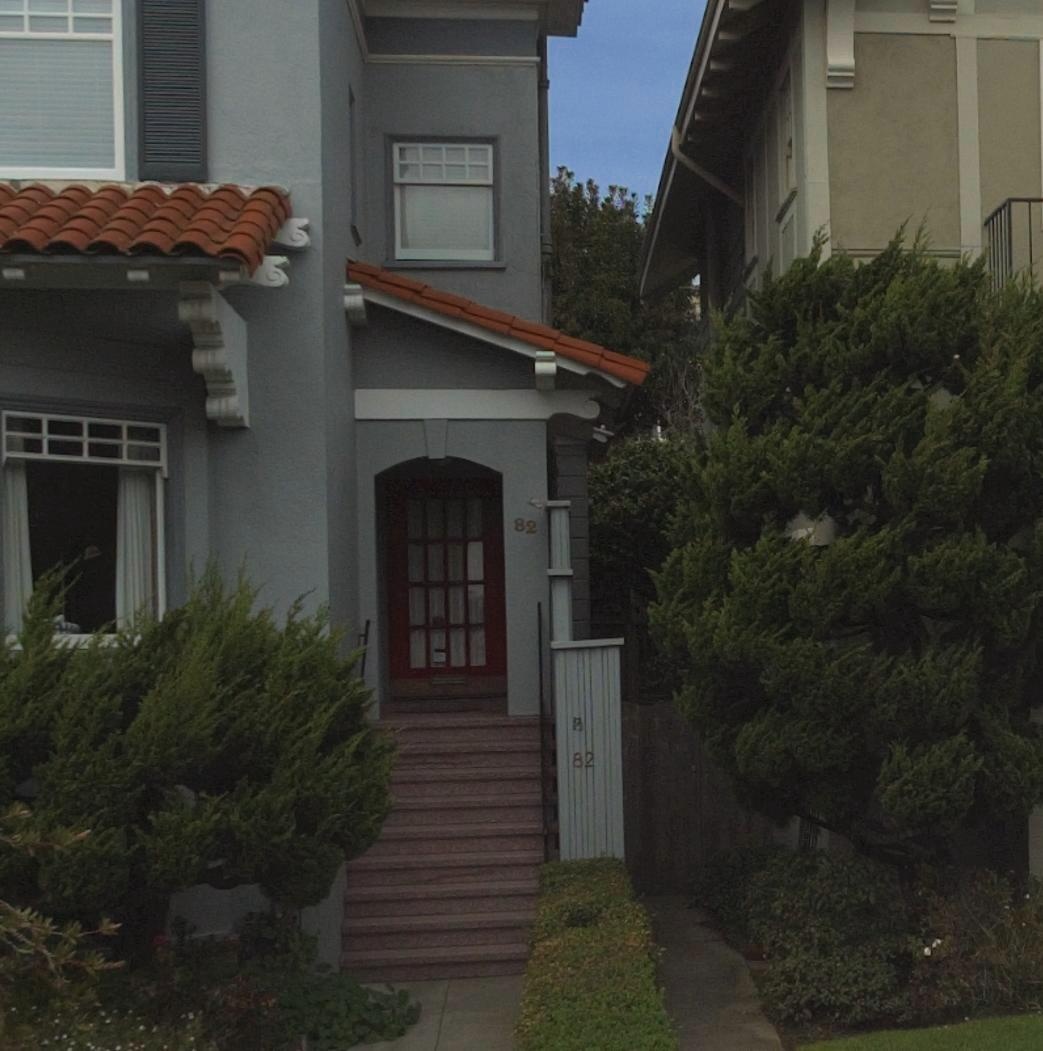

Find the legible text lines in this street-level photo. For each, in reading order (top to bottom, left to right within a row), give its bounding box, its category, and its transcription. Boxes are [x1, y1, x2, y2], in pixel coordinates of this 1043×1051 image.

[513, 517, 538, 535] StreetNumber: 82
[571, 750, 595, 769] StreetNumber: 82